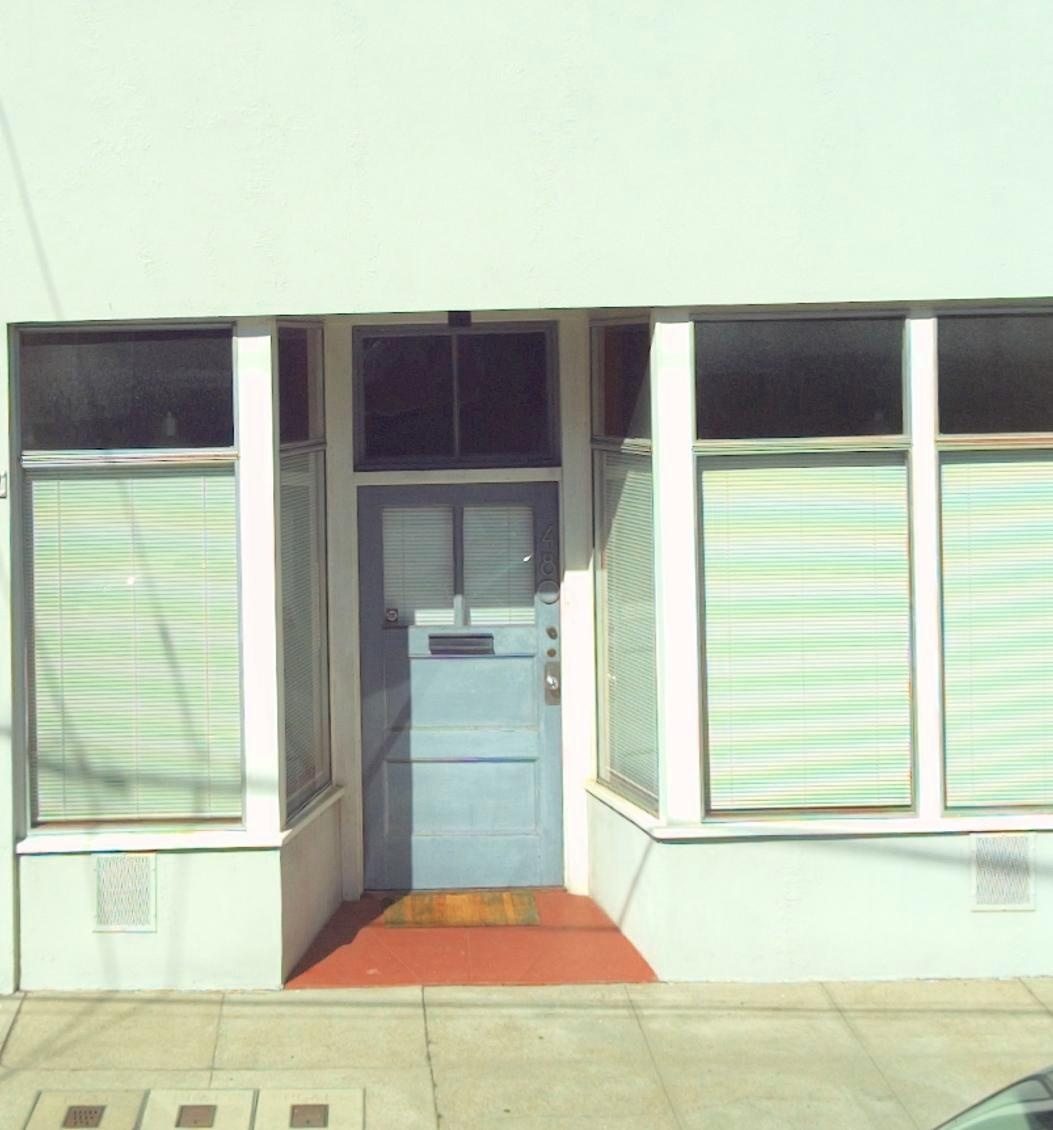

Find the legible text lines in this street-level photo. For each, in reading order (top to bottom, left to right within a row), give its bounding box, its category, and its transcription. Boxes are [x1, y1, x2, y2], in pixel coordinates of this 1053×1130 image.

[535, 524, 561, 606] StreetNumber: 480